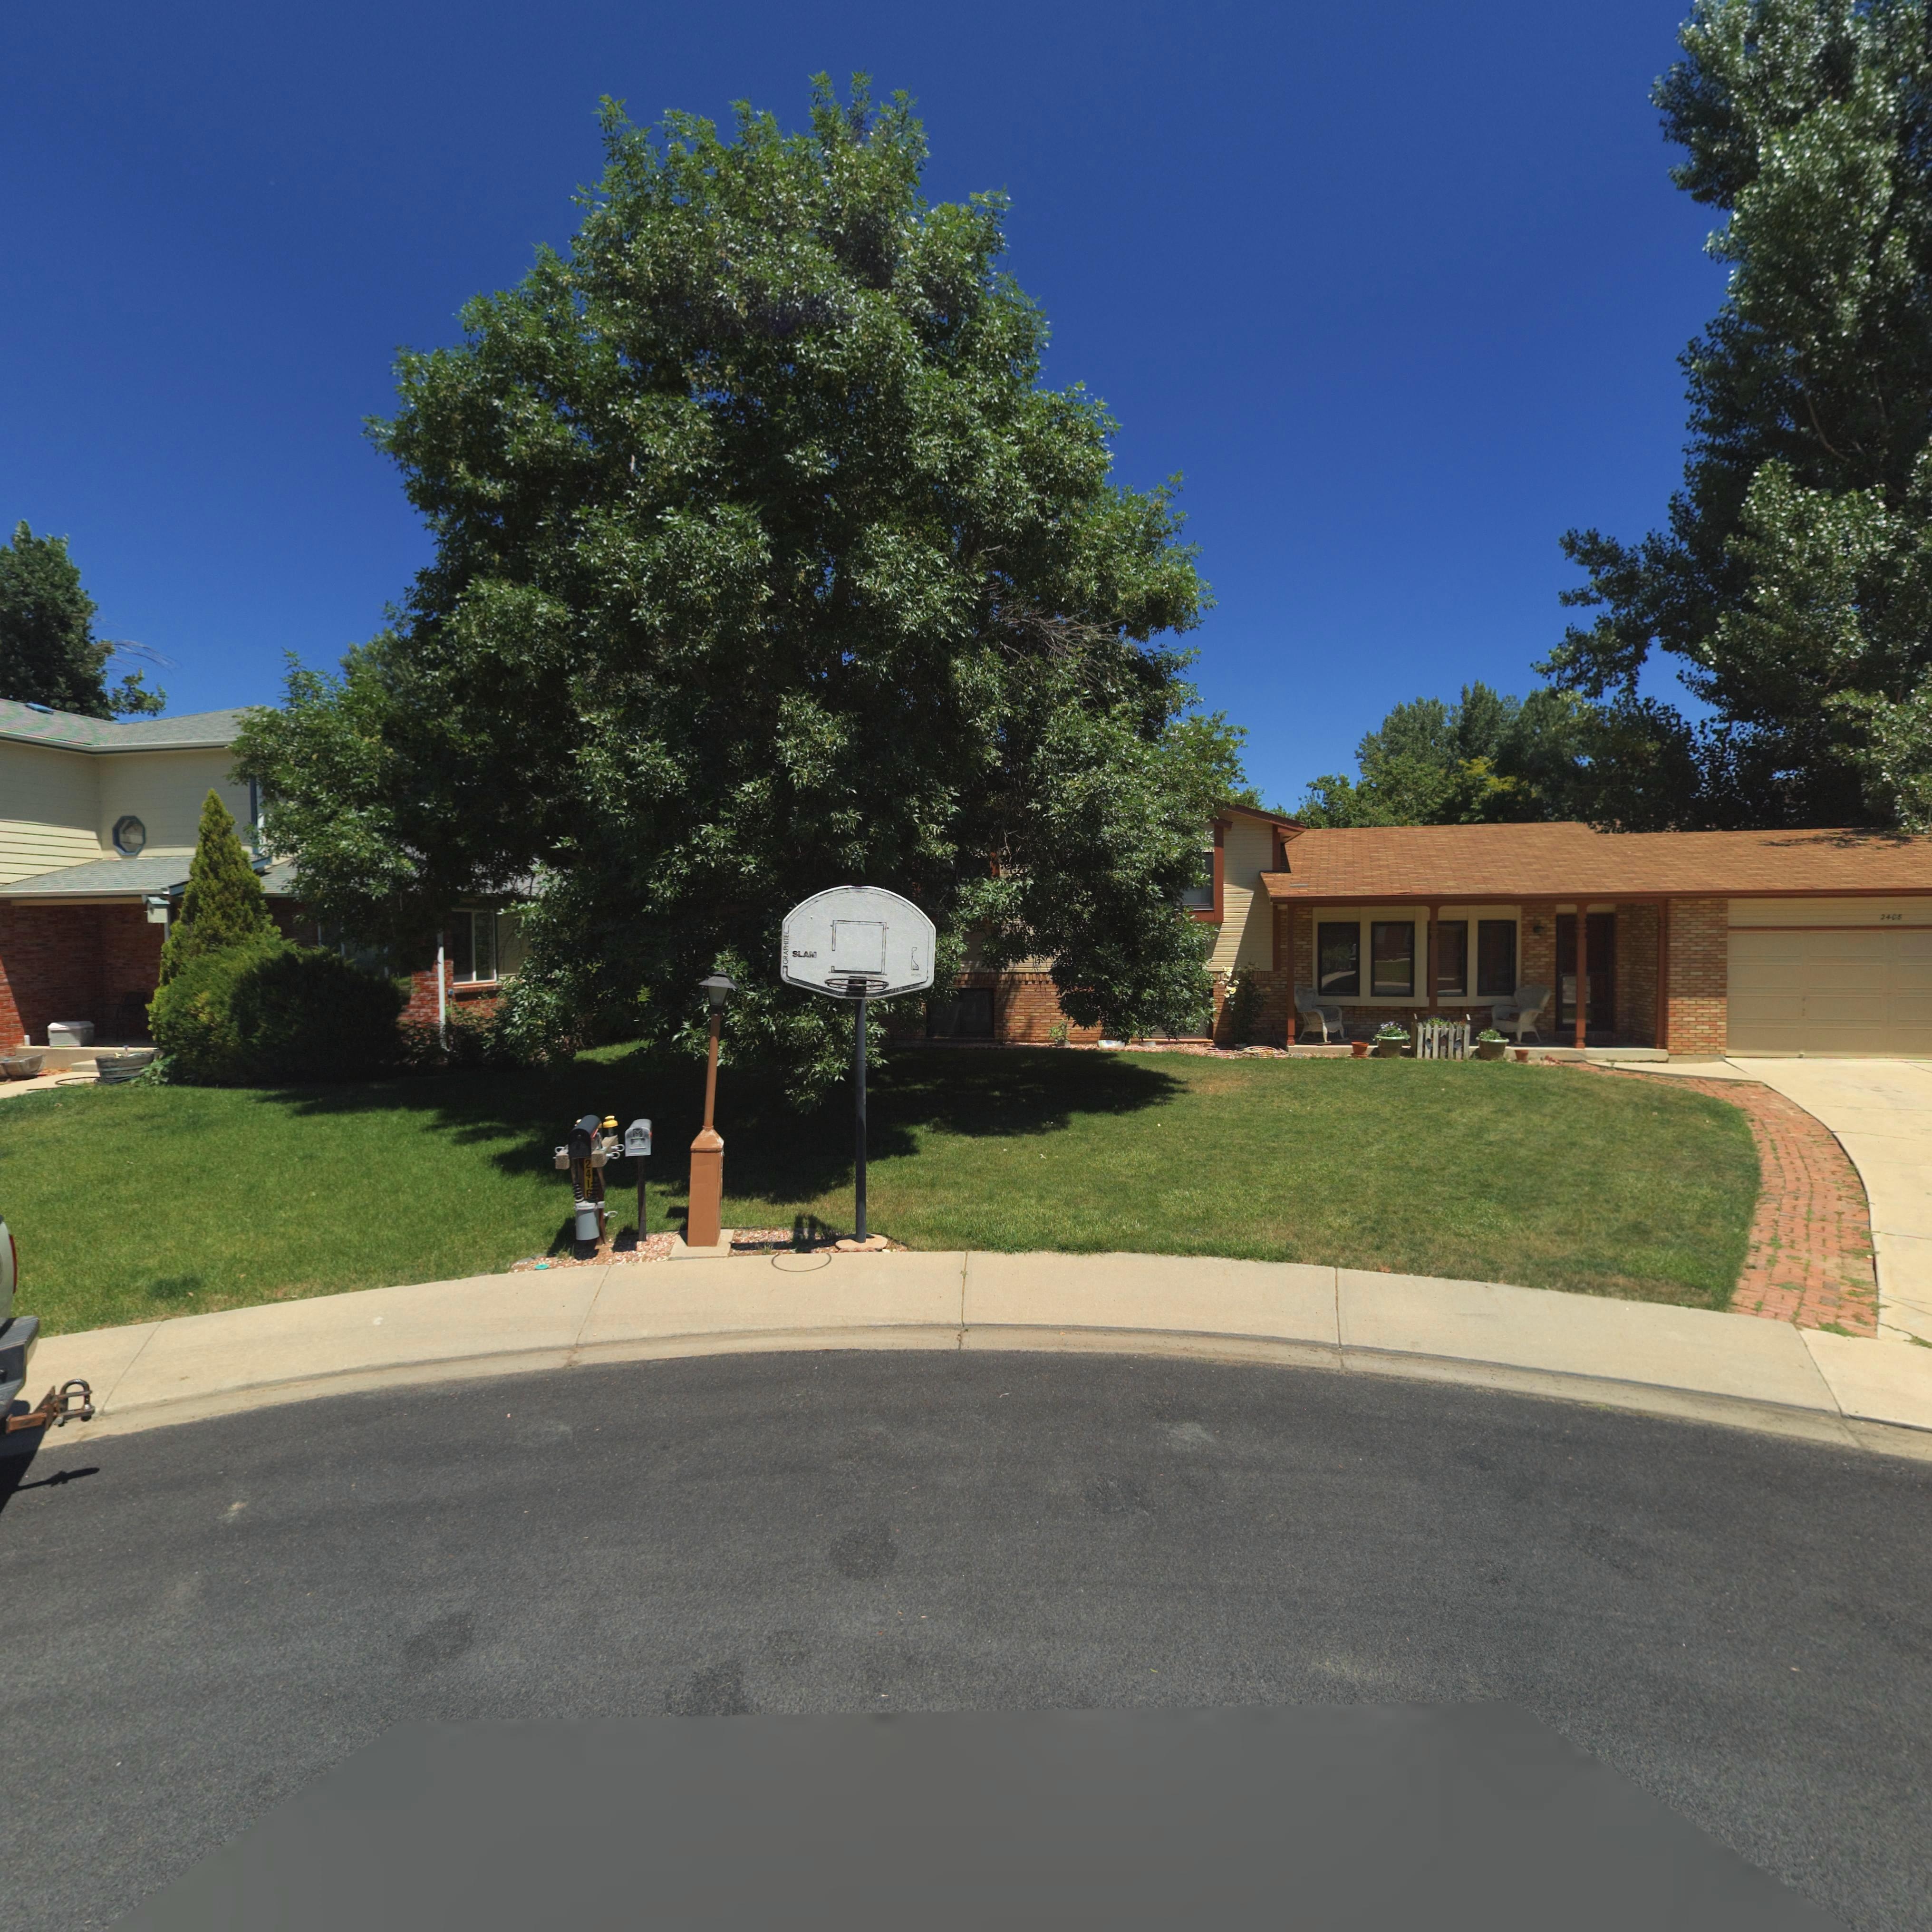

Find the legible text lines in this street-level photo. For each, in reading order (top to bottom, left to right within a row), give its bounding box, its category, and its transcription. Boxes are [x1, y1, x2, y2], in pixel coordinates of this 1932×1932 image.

[1880, 913, 1902, 920] StreetNumber: 2408
[584, 1159, 592, 1198] StreetNumber: 2416